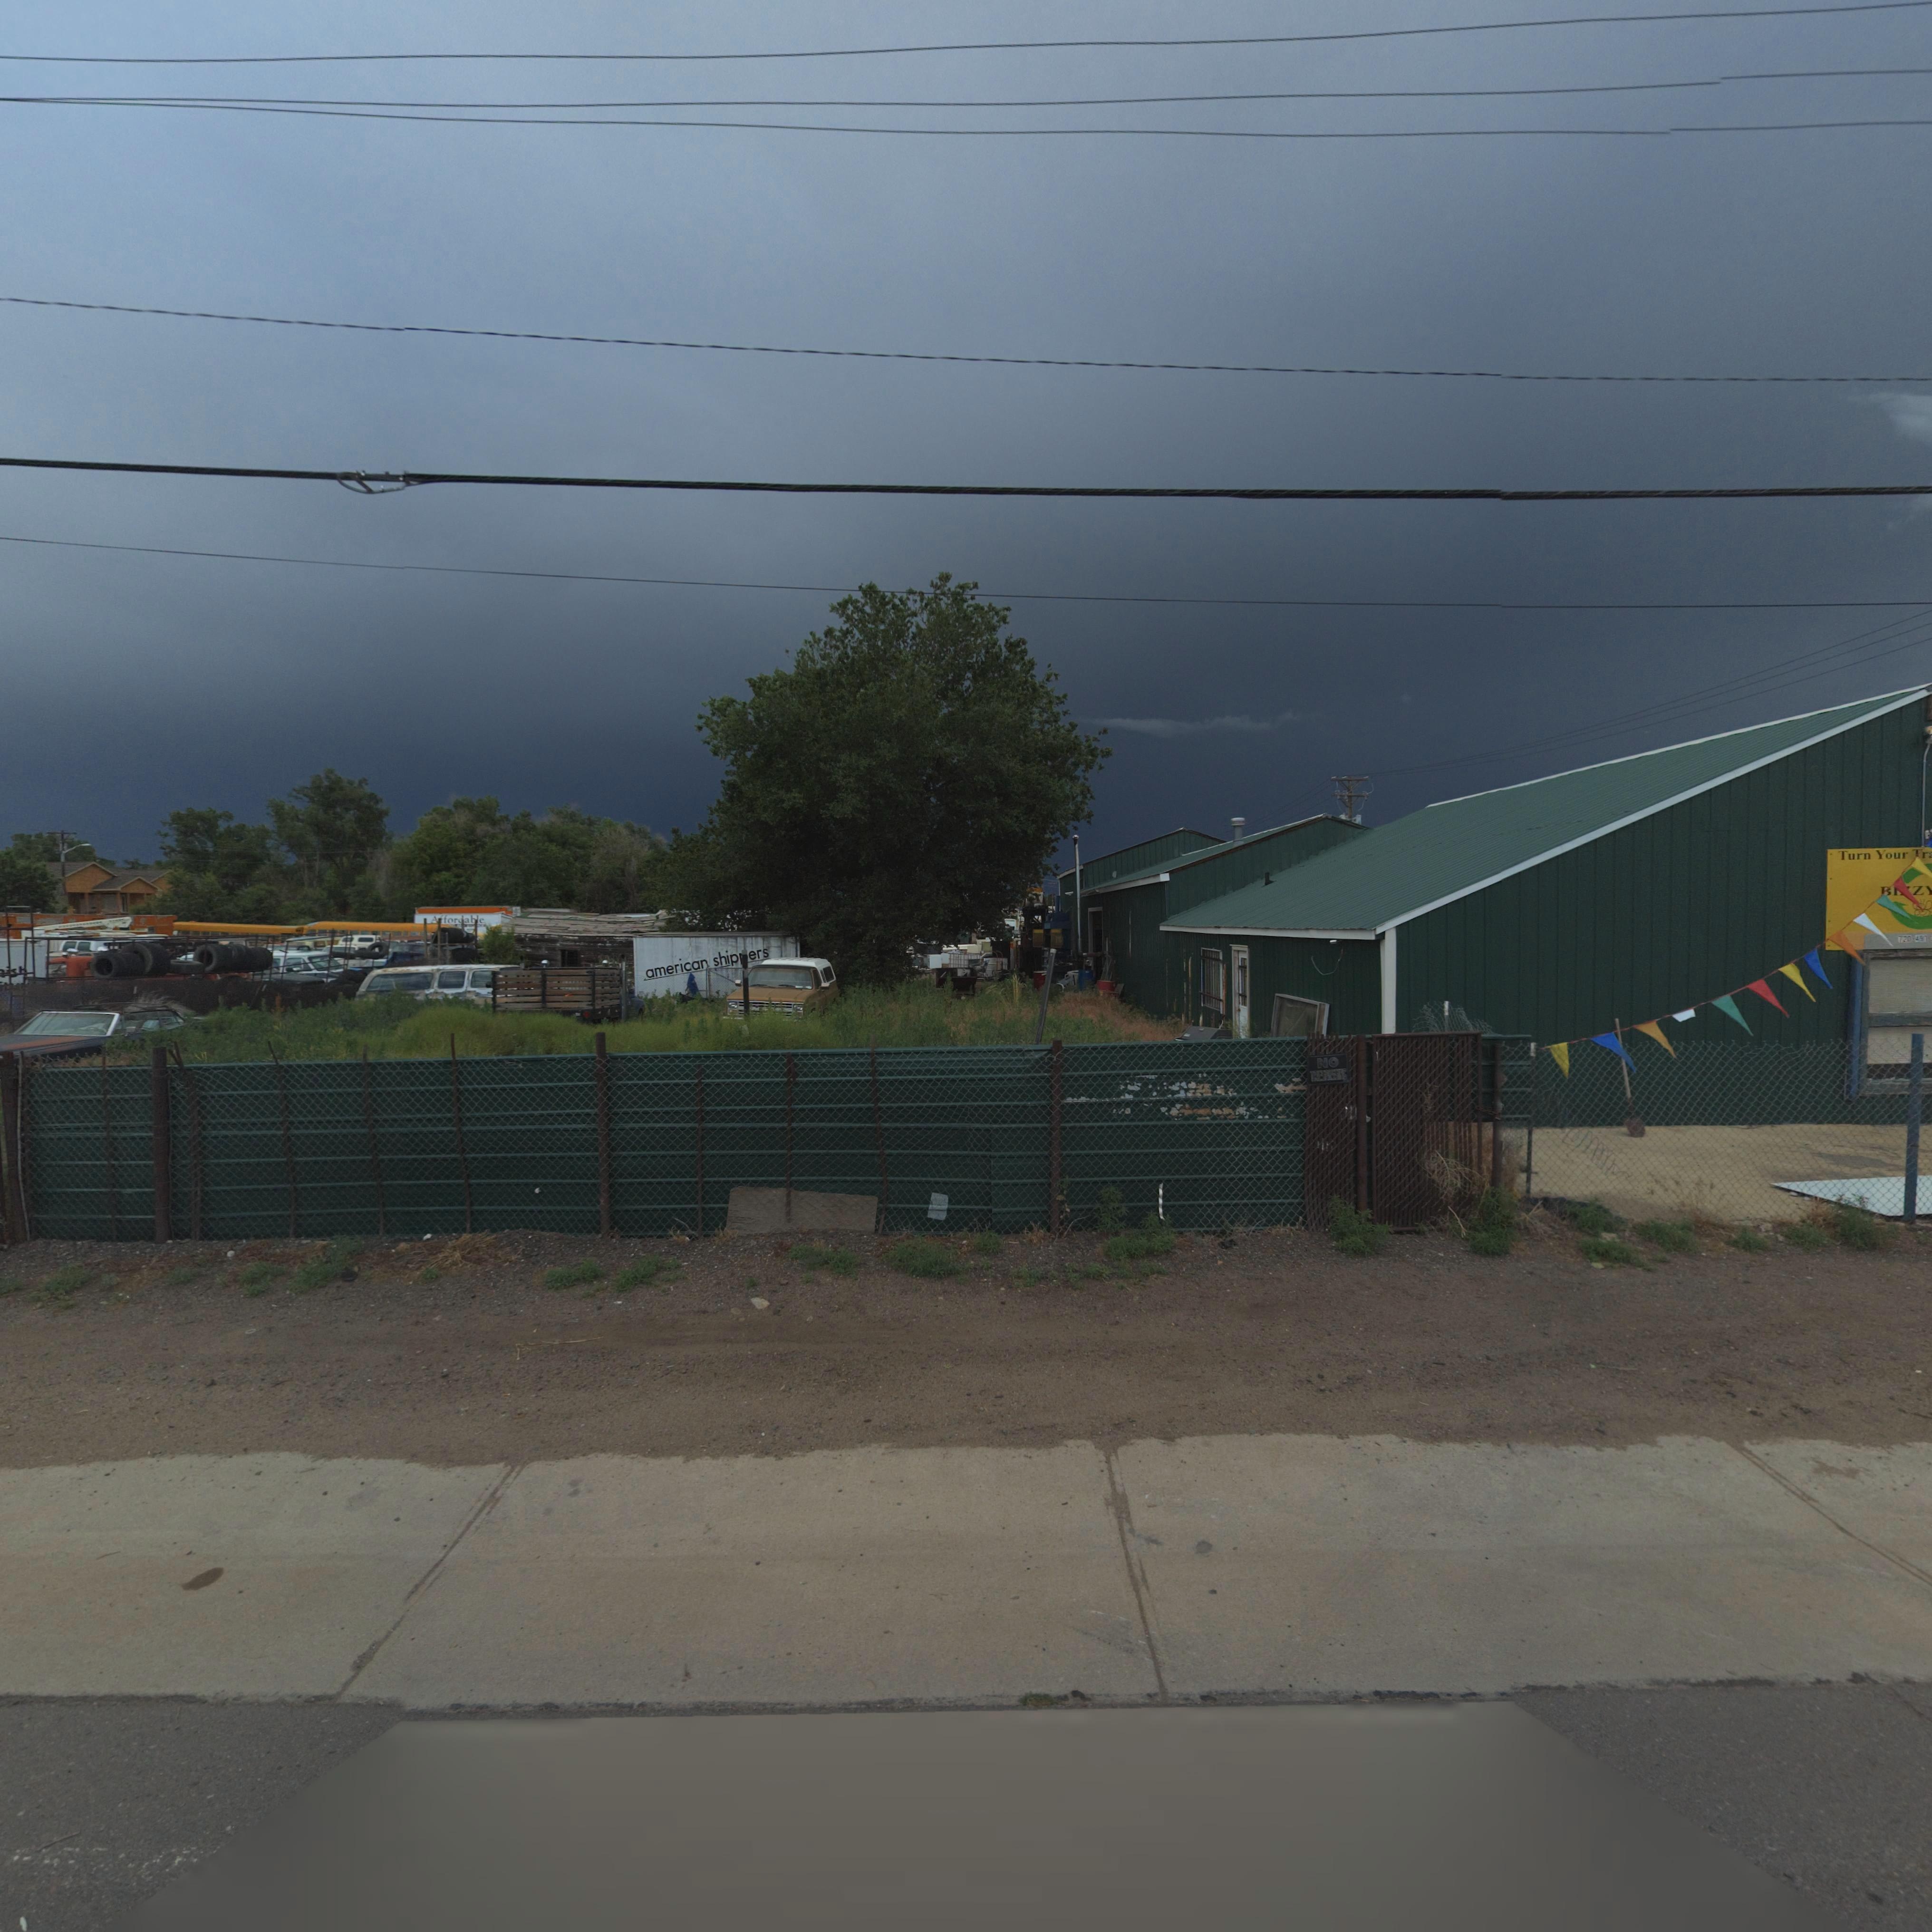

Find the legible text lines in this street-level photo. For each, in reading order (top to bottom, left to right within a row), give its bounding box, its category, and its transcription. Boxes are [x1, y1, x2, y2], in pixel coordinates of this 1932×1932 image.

[1880, 885, 1925, 896] BusinessName: B**Z